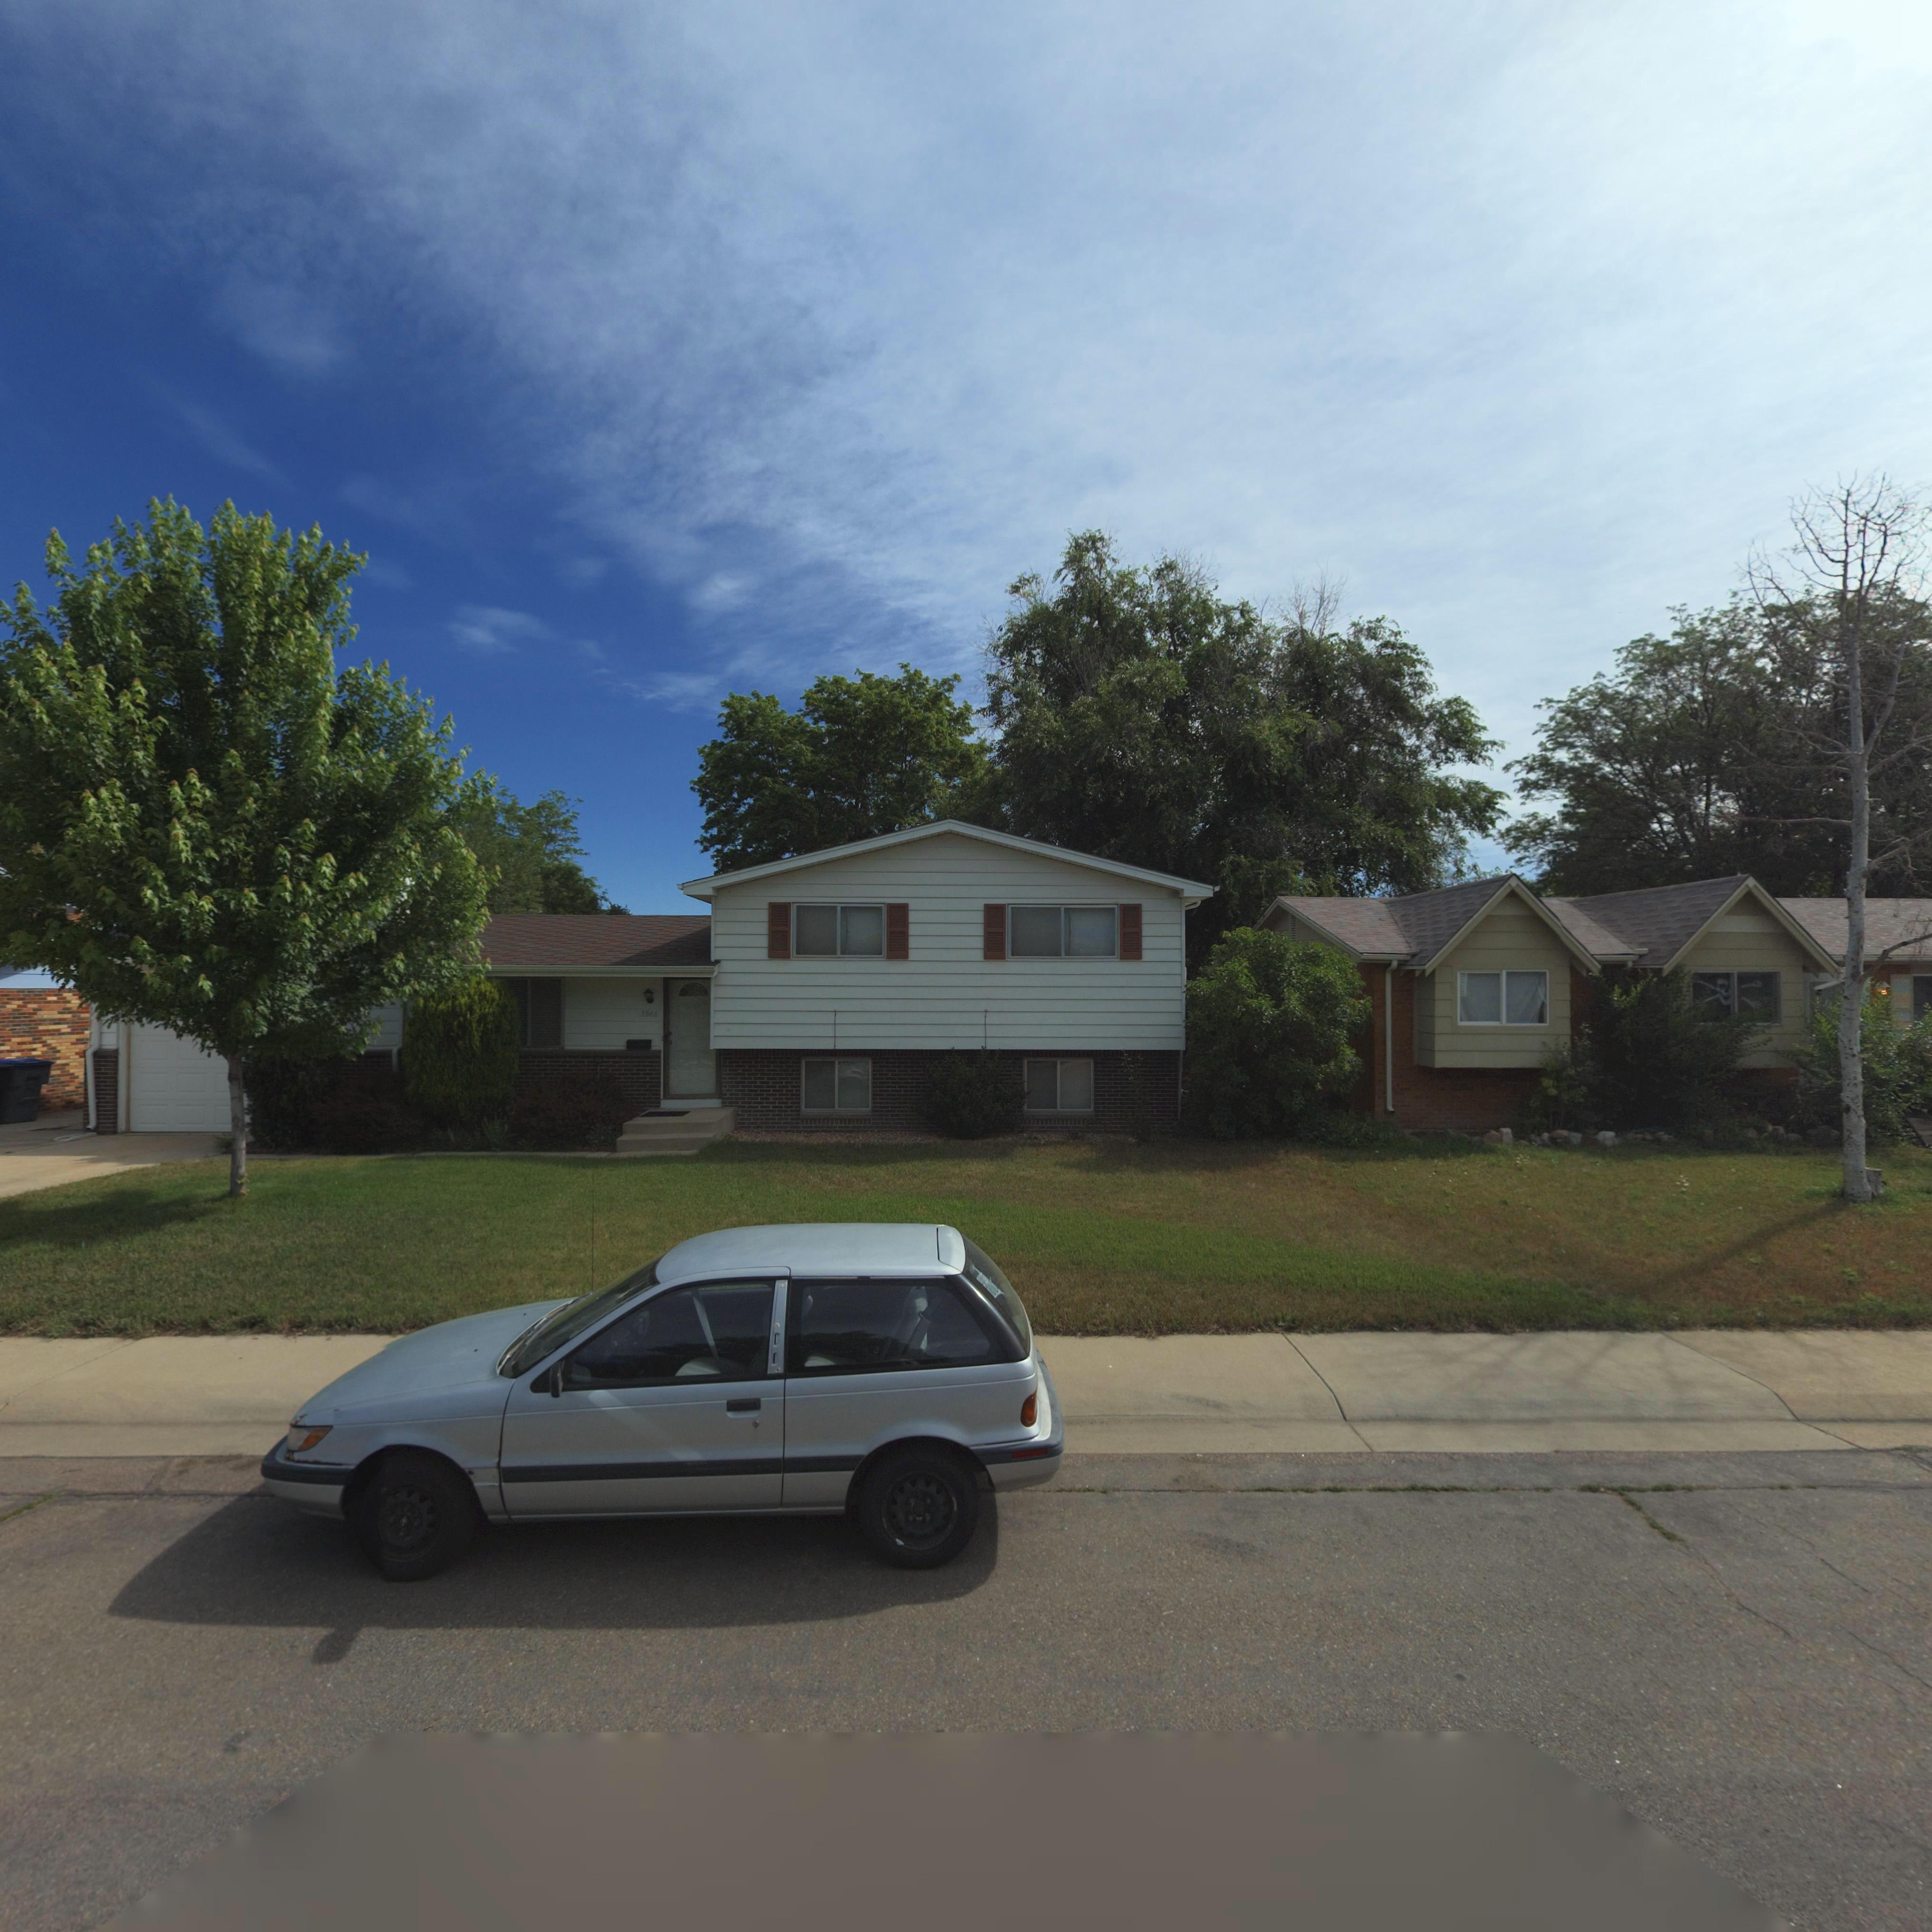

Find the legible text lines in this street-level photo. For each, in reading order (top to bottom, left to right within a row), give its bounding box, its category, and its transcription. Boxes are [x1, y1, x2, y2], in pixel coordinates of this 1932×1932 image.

[640, 1009, 659, 1018] StreetNumber: 1846